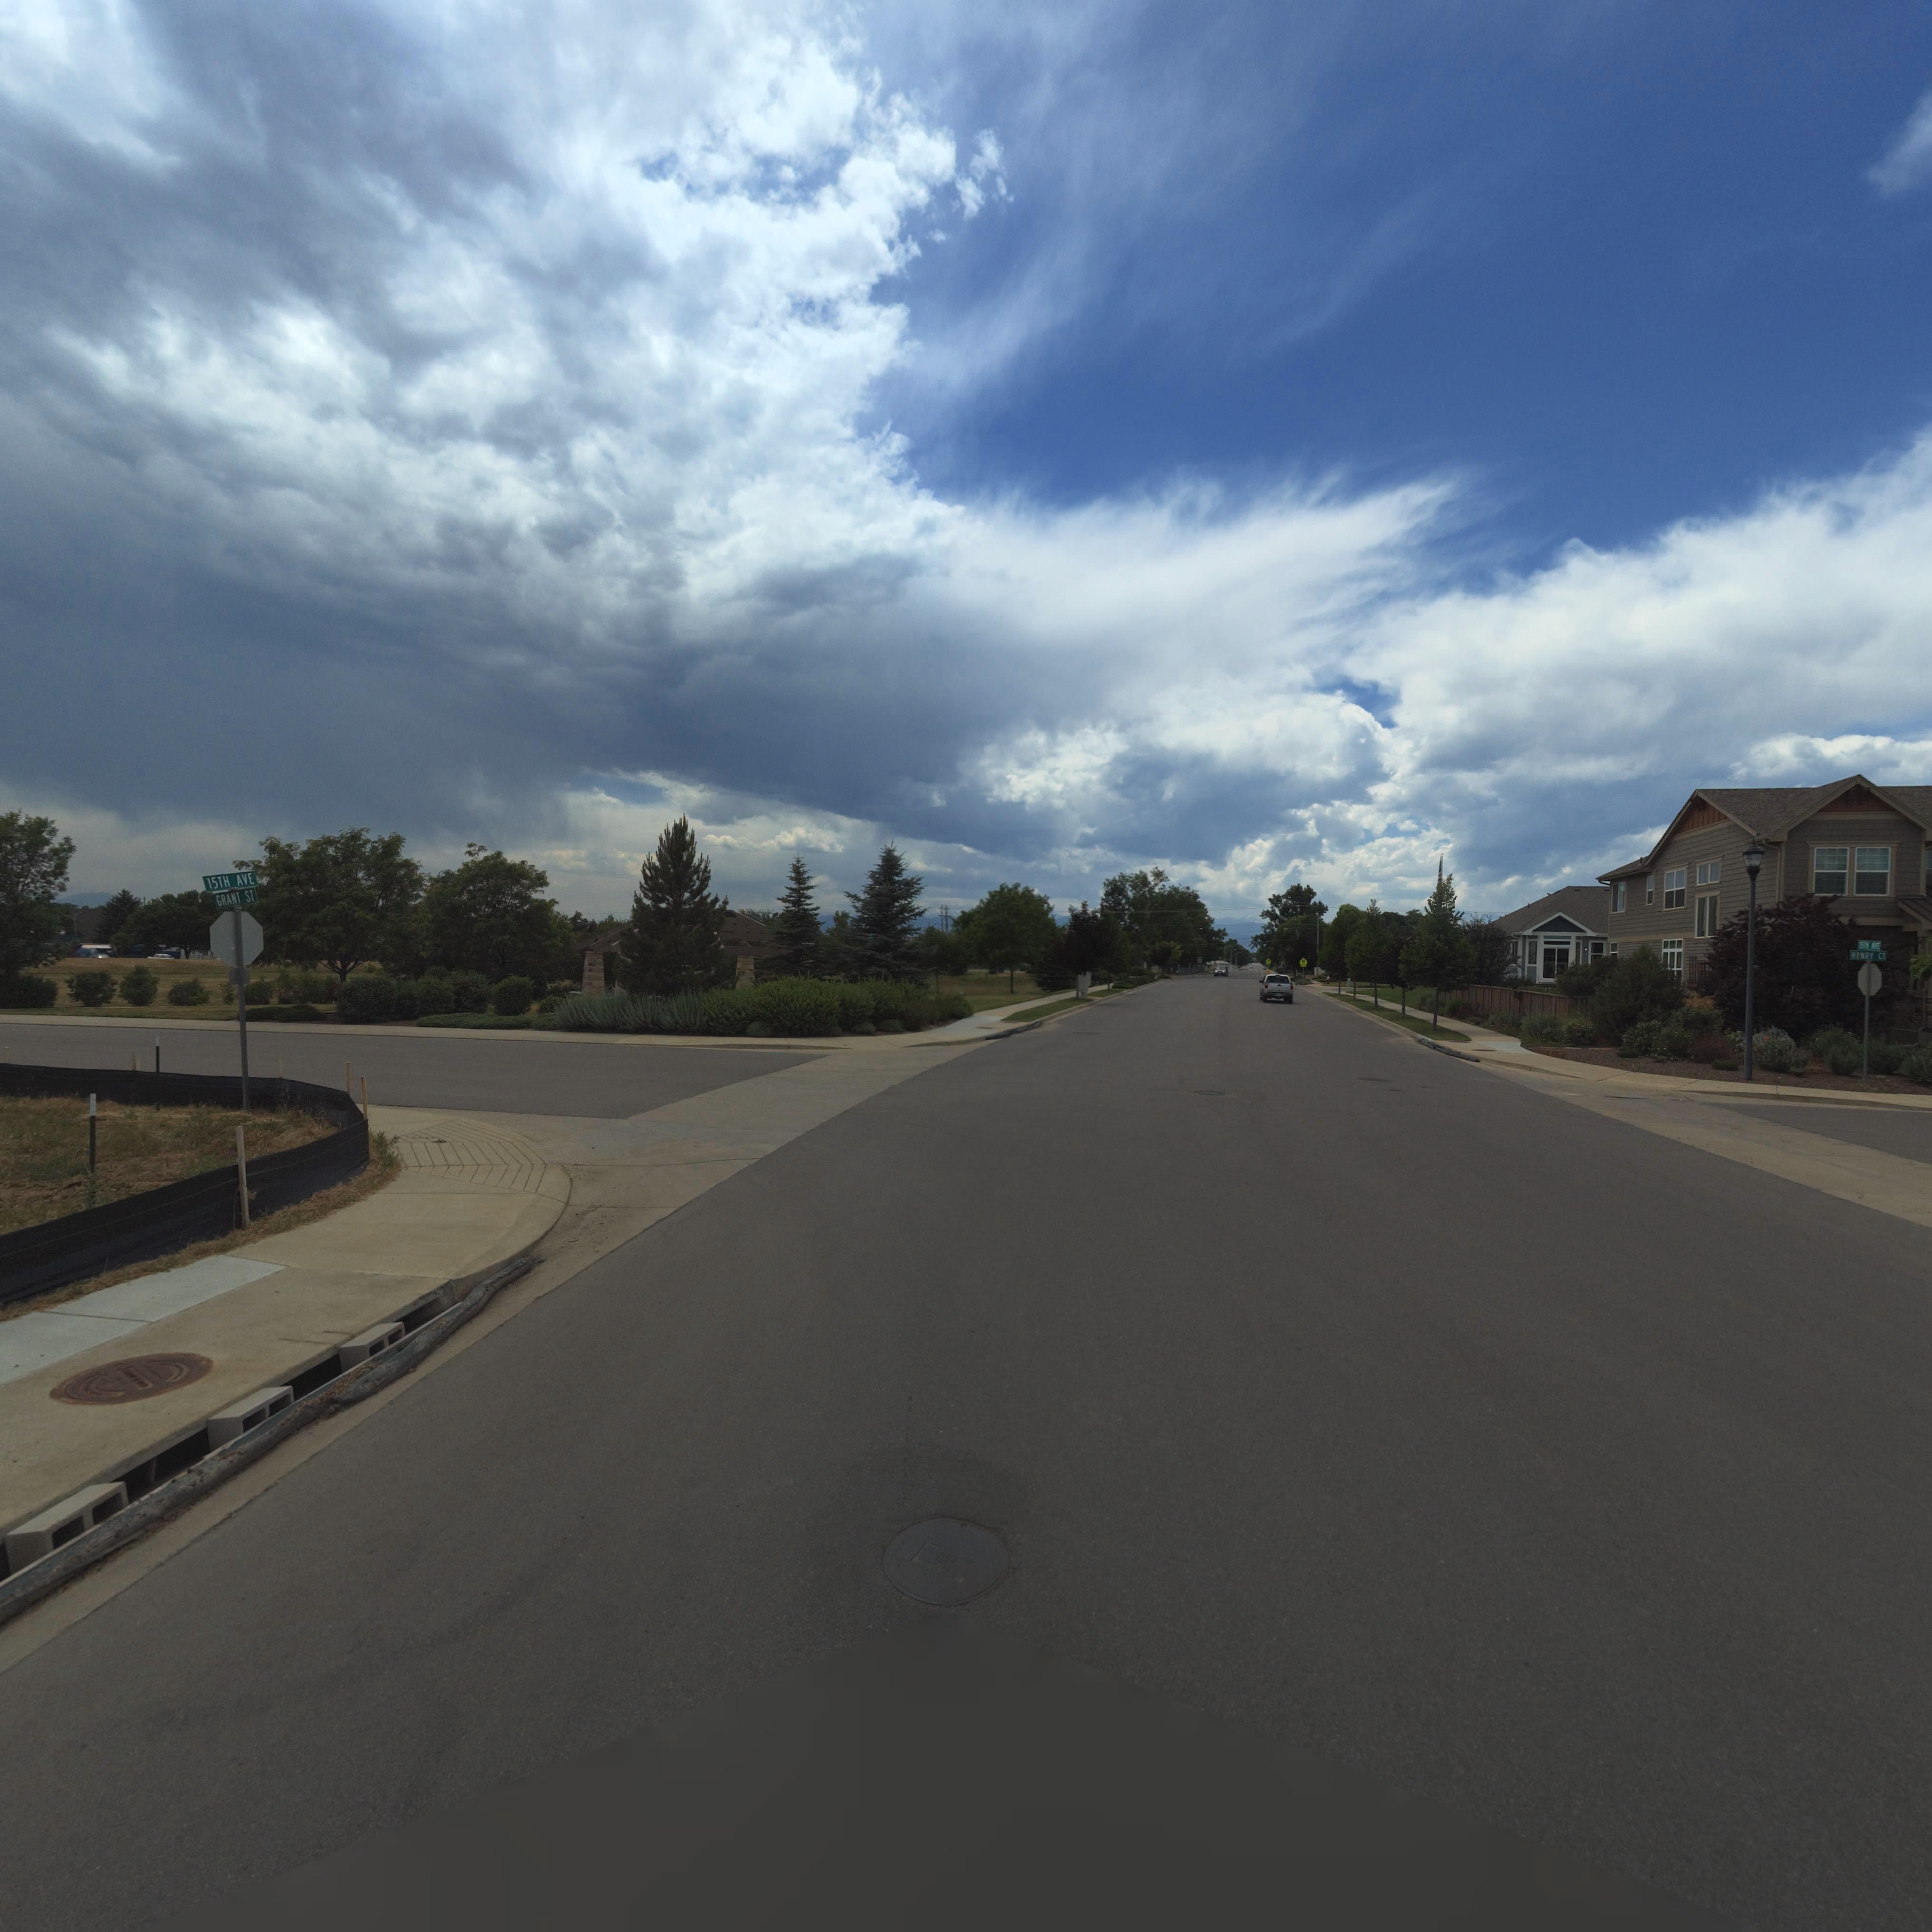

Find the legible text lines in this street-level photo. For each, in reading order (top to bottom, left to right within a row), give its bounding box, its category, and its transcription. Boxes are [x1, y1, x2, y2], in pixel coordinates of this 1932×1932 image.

[206, 872, 255, 889] StreetName: 15TH AVE
[215, 889, 254, 907] StreetName: GRANT ST
[1858, 941, 1880, 950] StreetName: 15TH AVE
[1851, 951, 1886, 960] StreetName: HENRY CT